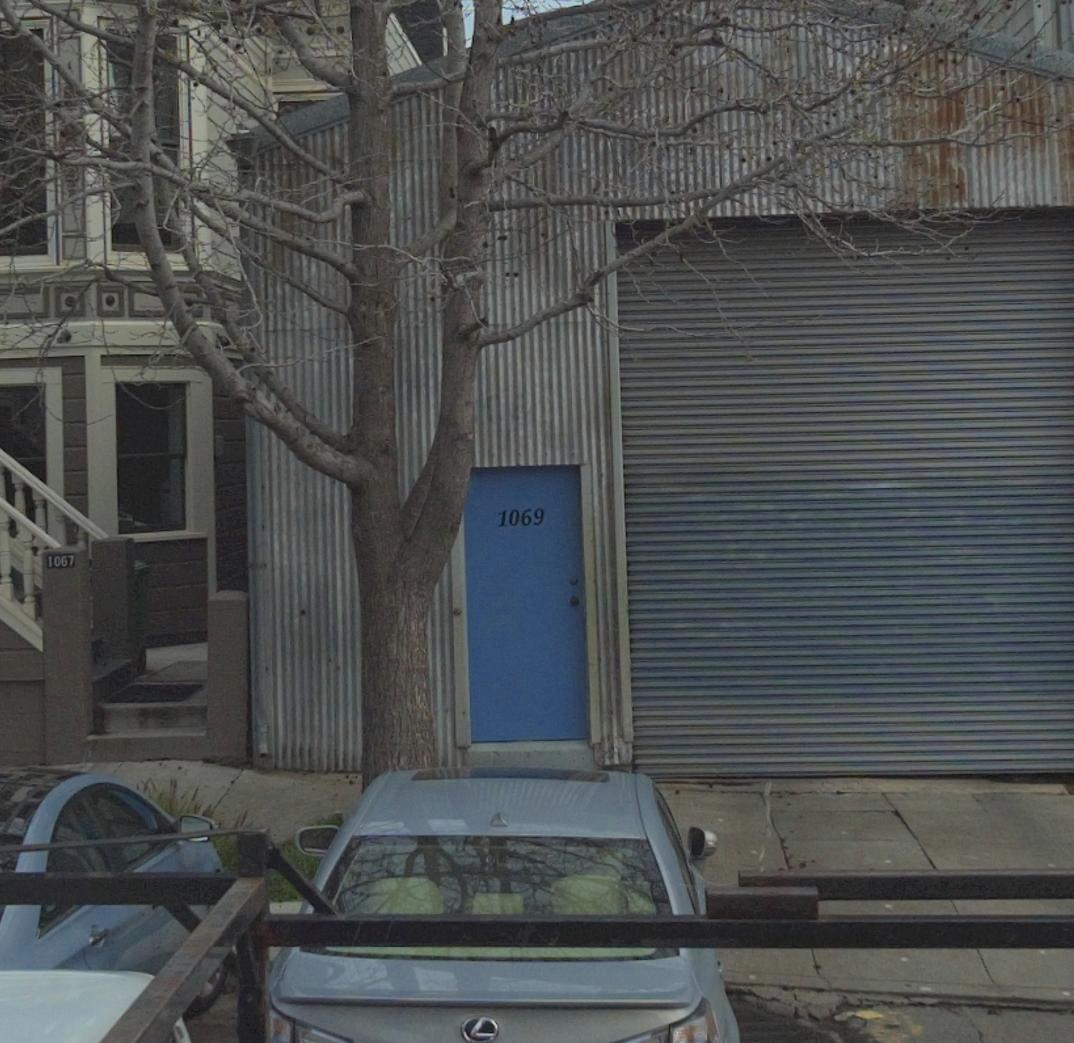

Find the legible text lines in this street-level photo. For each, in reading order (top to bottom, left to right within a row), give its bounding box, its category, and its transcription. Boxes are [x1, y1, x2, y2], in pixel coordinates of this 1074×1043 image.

[496, 507, 546, 527] StreetNumber: 1069
[46, 554, 77, 568] StreetNumber: 1067